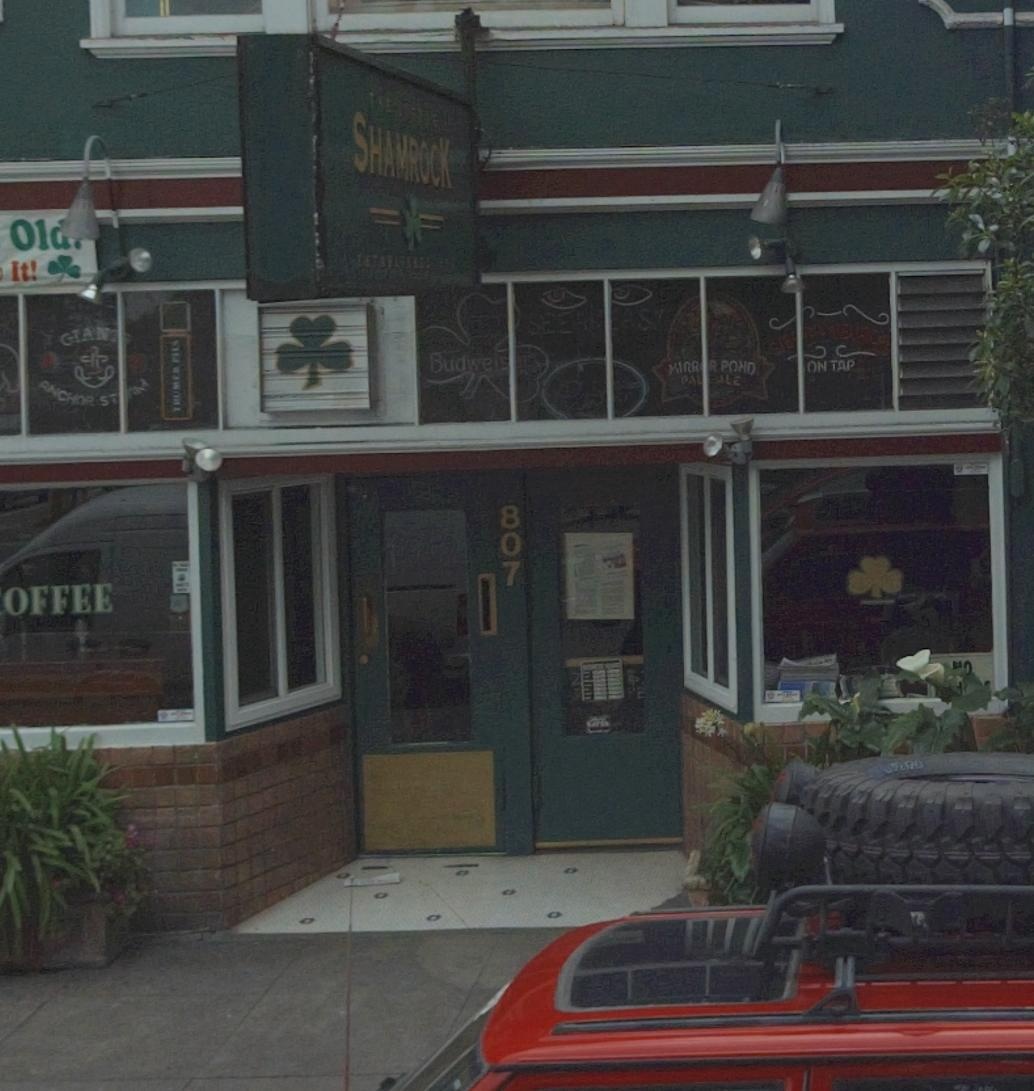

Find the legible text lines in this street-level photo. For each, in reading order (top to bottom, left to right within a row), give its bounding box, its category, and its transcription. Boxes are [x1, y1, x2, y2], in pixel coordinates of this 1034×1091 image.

[349, 108, 455, 191] None: SHAMROCK
[4, 217, 74, 251] None: Old
[7, 258, 40, 283] None: It!
[56, 324, 135, 348] None: GIANT**
[524, 303, 670, 338] None: SEEAR*AS!
[430, 350, 534, 374] None: Budweis*r
[667, 358, 758, 377] None: MIRR*R POND
[806, 358, 857, 375] None: ON TAP
[35, 376, 154, 409] None: ANCHOR ST*RM
[551, 378, 641, 407] None: Pa*st
[499, 503, 522, 586] StreetNumber: 807
[2, 582, 115, 618] None: OFFEE